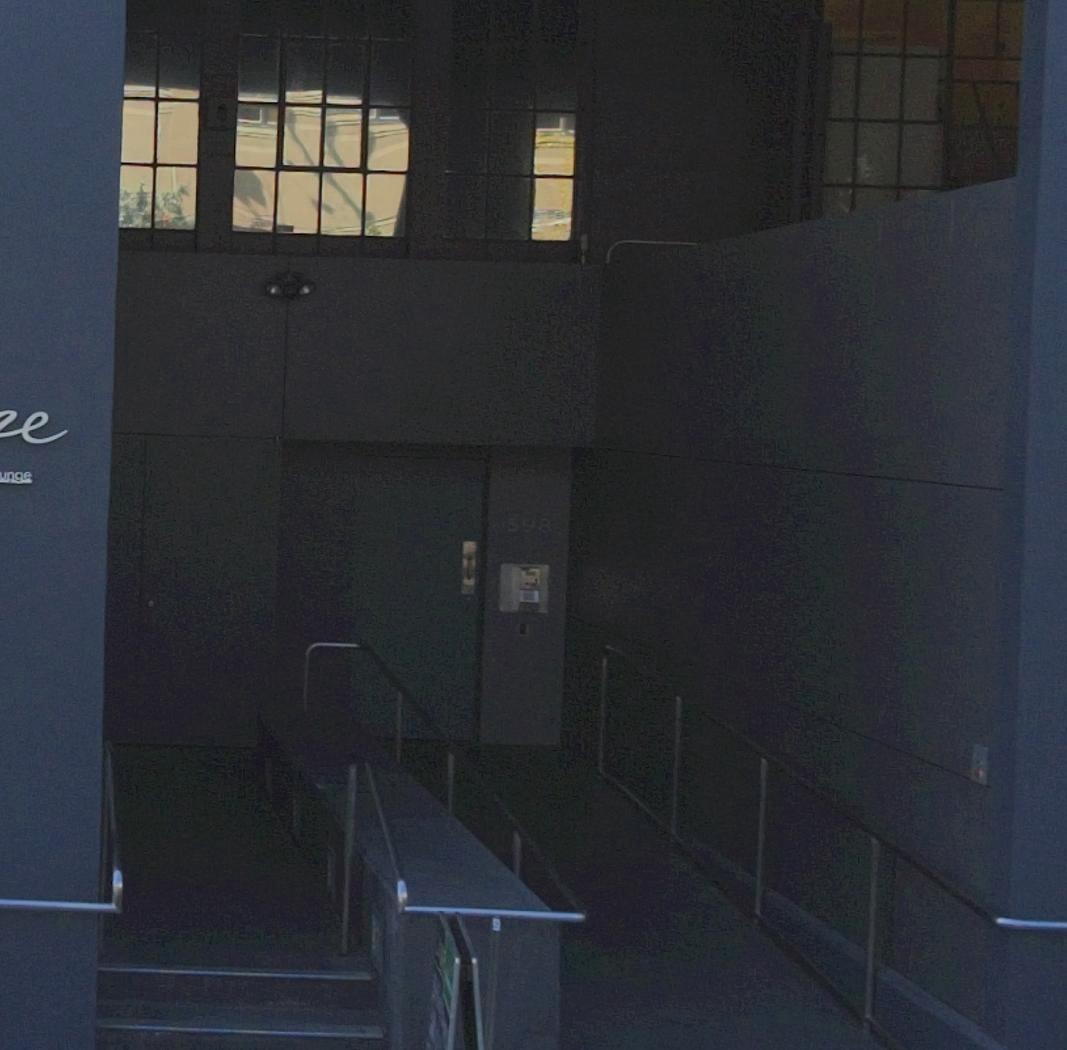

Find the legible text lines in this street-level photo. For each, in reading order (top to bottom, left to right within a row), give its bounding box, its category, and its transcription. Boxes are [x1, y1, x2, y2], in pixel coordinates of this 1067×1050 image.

[14, 403, 78, 451] BusinessName: e
[504, 513, 555, 537] StreetNumber: 598